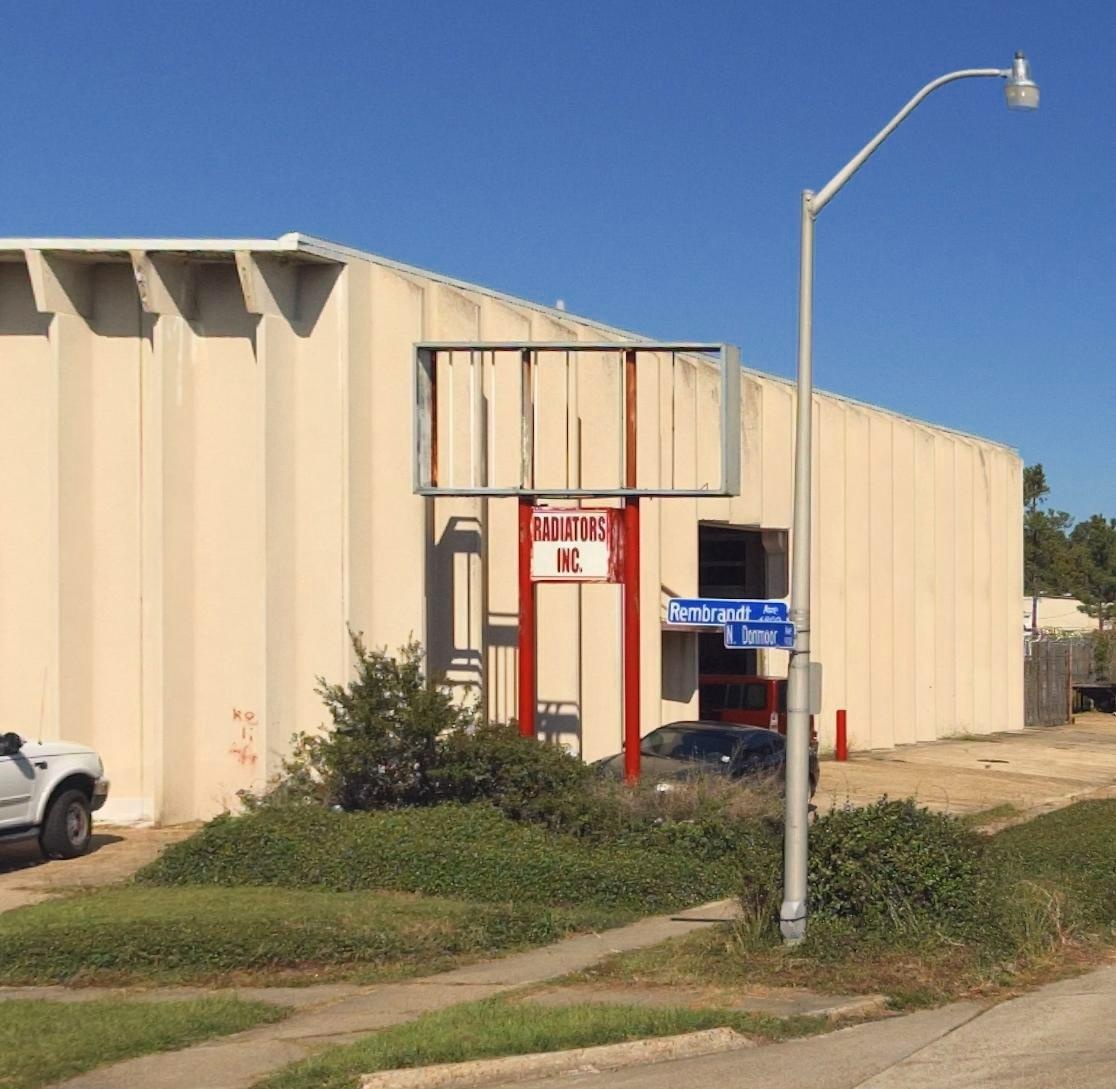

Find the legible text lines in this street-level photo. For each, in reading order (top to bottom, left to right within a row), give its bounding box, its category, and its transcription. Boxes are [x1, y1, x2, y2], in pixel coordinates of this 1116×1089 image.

[531, 513, 608, 544] BusinessName: RADIATORS
[554, 544, 585, 576] BusinessName: INC.
[667, 599, 753, 625] StreetName: Rembran**
[724, 621, 779, 648] StreetName: N. Don*o**